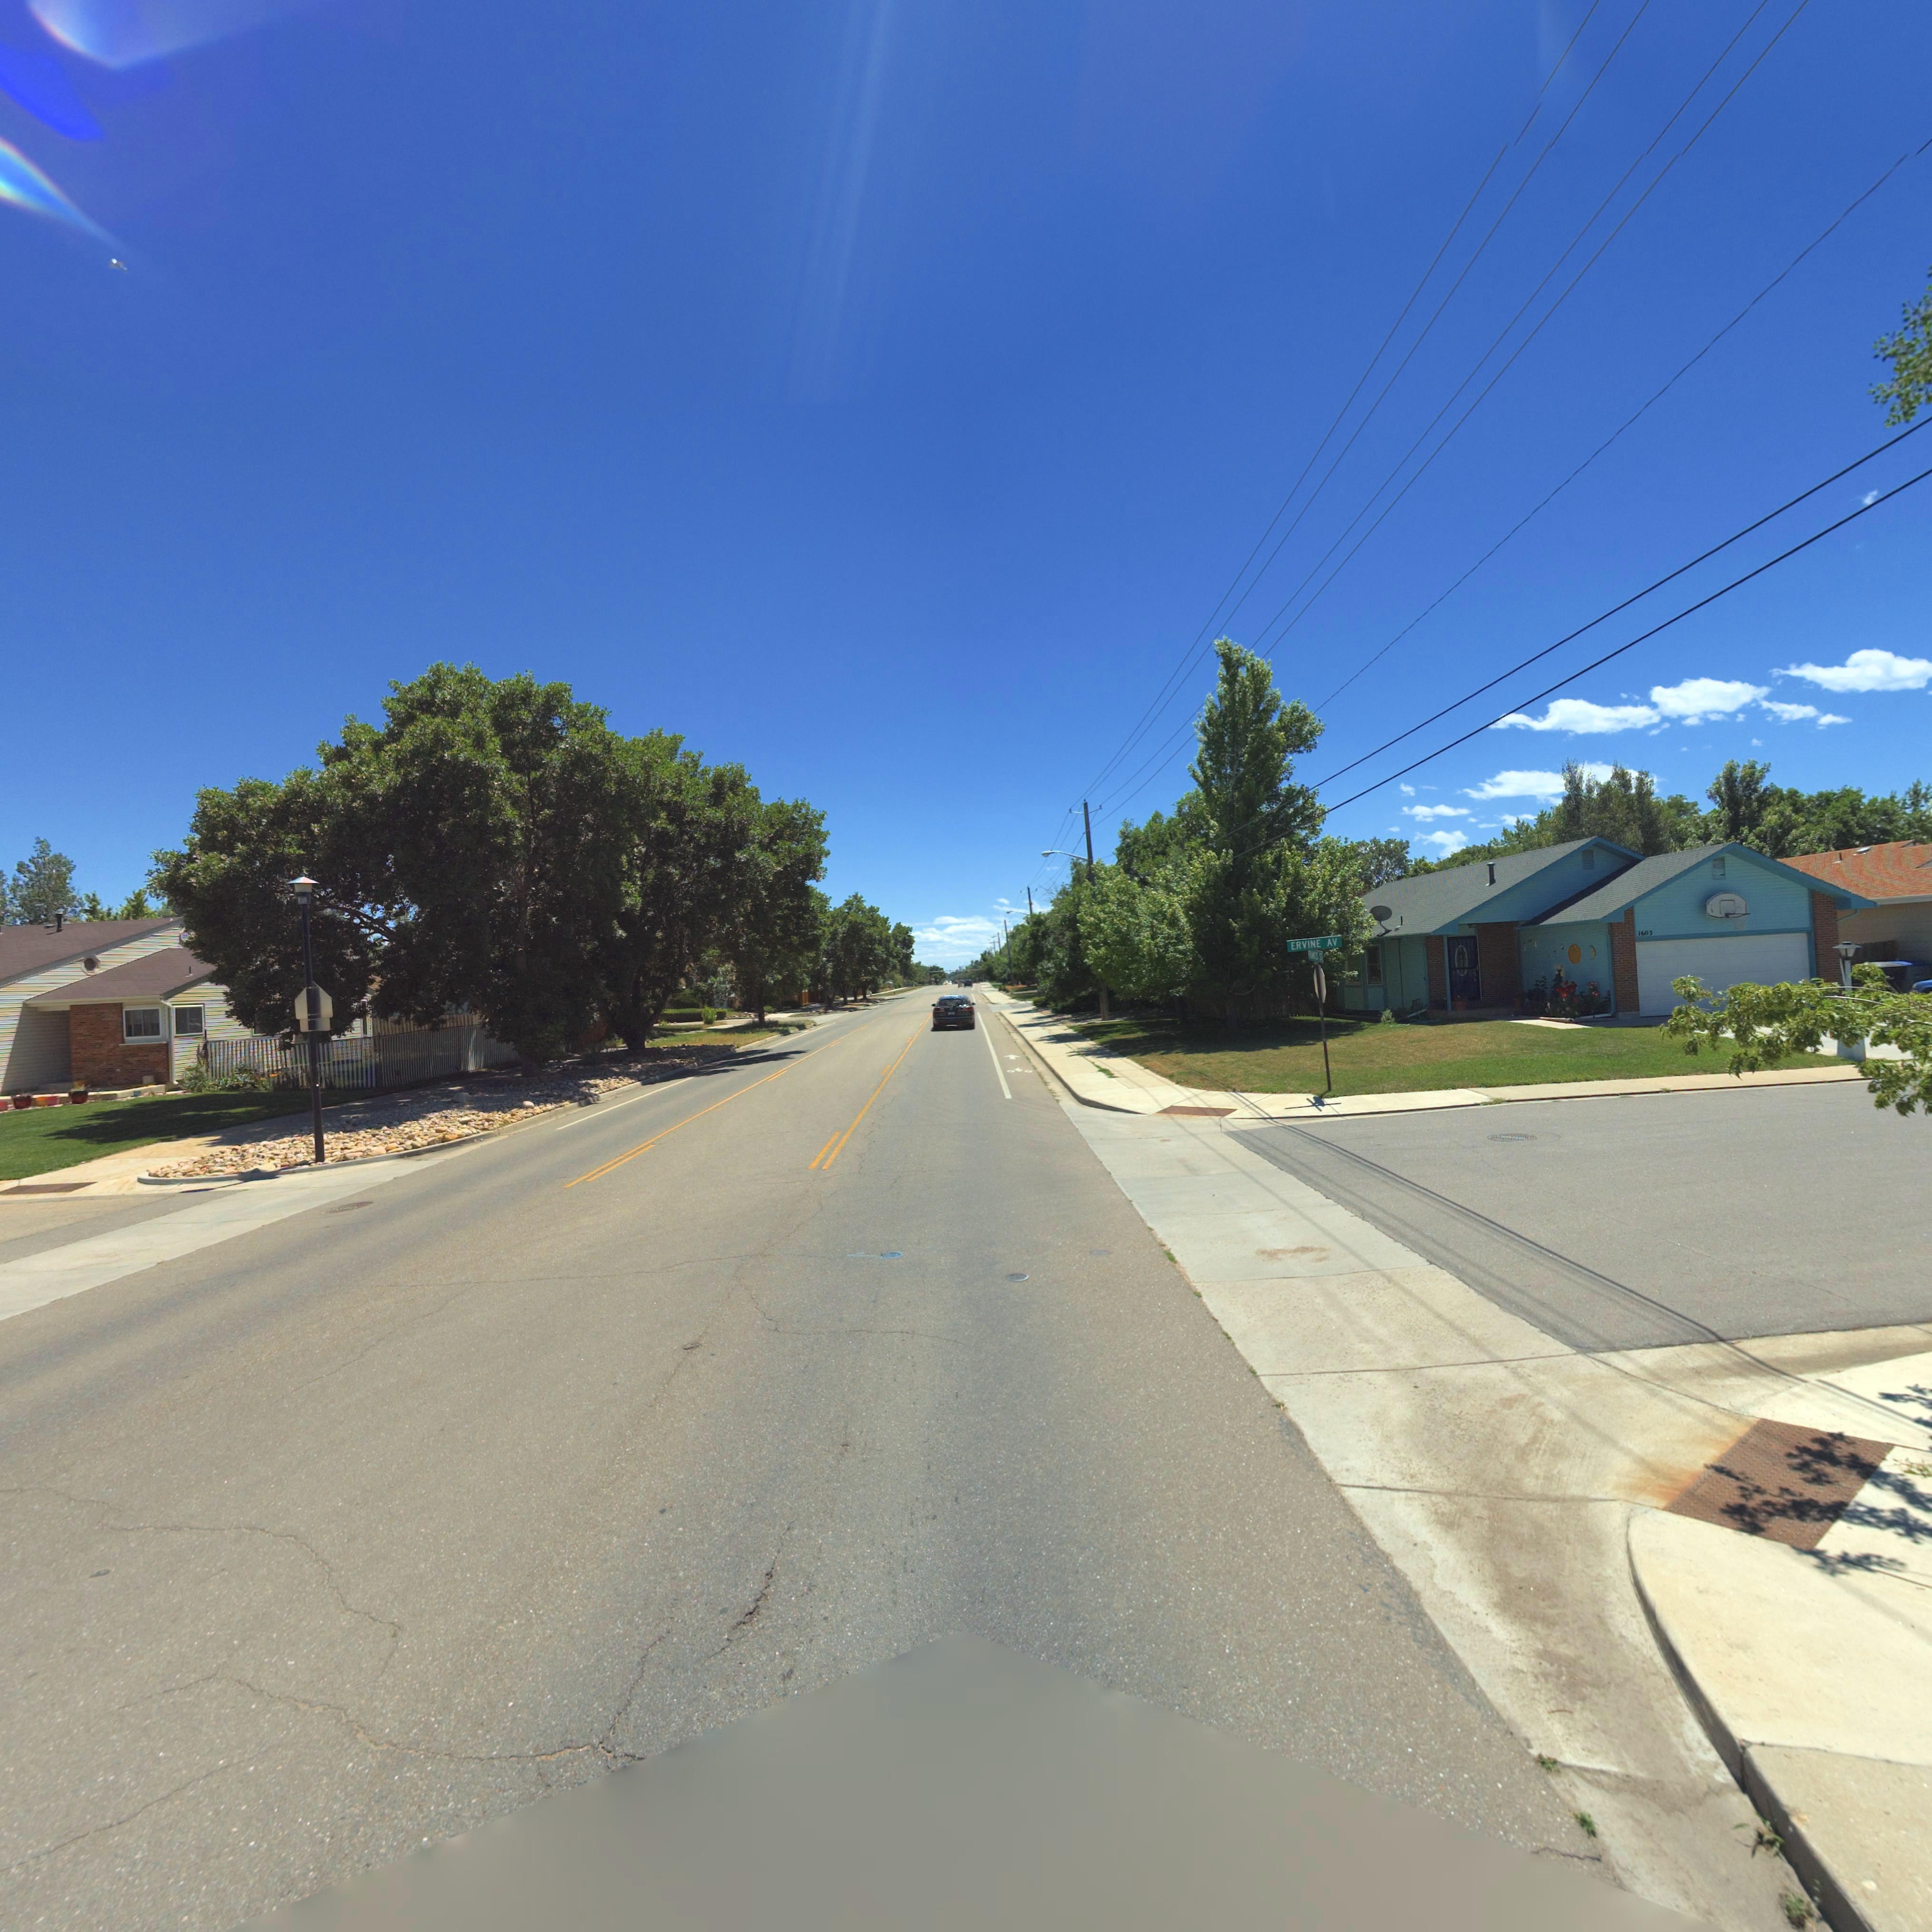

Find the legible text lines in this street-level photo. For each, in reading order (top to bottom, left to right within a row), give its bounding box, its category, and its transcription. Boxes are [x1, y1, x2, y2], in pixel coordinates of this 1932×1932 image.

[1638, 929, 1653, 936] StreetNumber: 1603
[1291, 937, 1337, 950] StreetName: ERVINE AV
[1308, 950, 1323, 962] StreetName: F**** S*